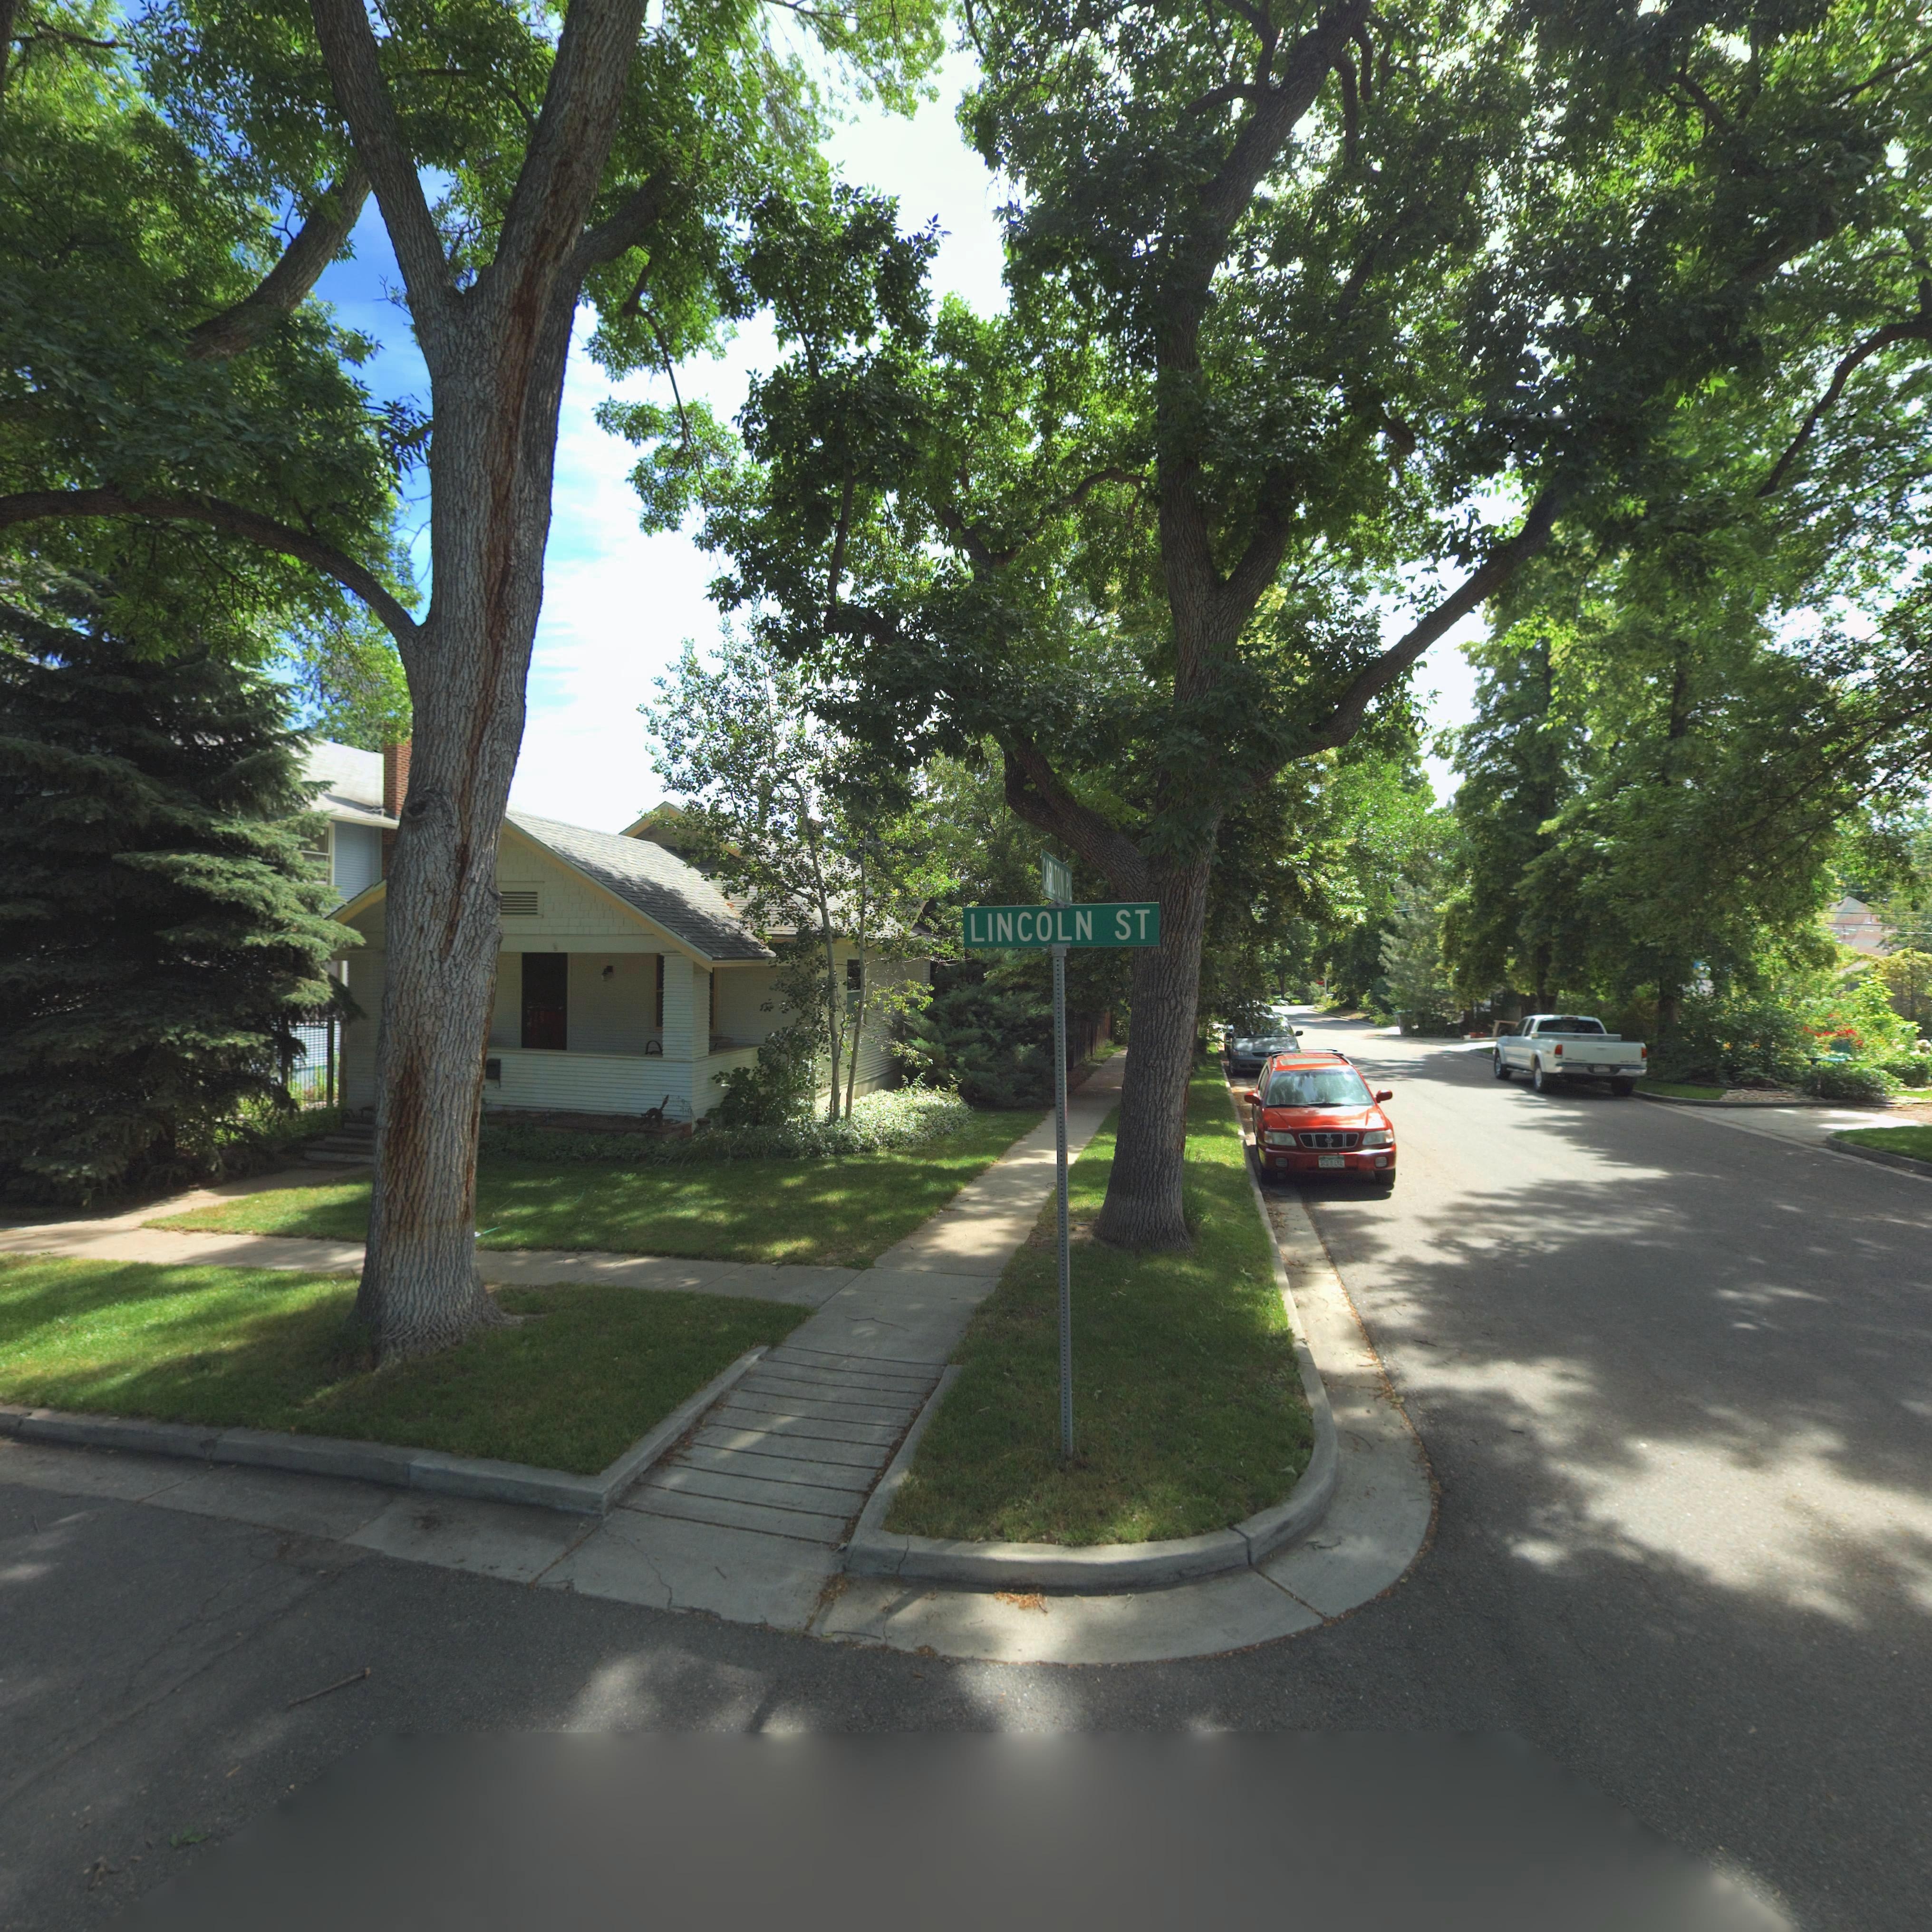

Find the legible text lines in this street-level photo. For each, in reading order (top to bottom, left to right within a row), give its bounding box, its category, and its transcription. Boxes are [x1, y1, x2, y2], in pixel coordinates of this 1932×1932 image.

[1043, 857, 1072, 901] StreetName: CARLTON PL
[970, 909, 1150, 942] StreetName: LINCOLN ST